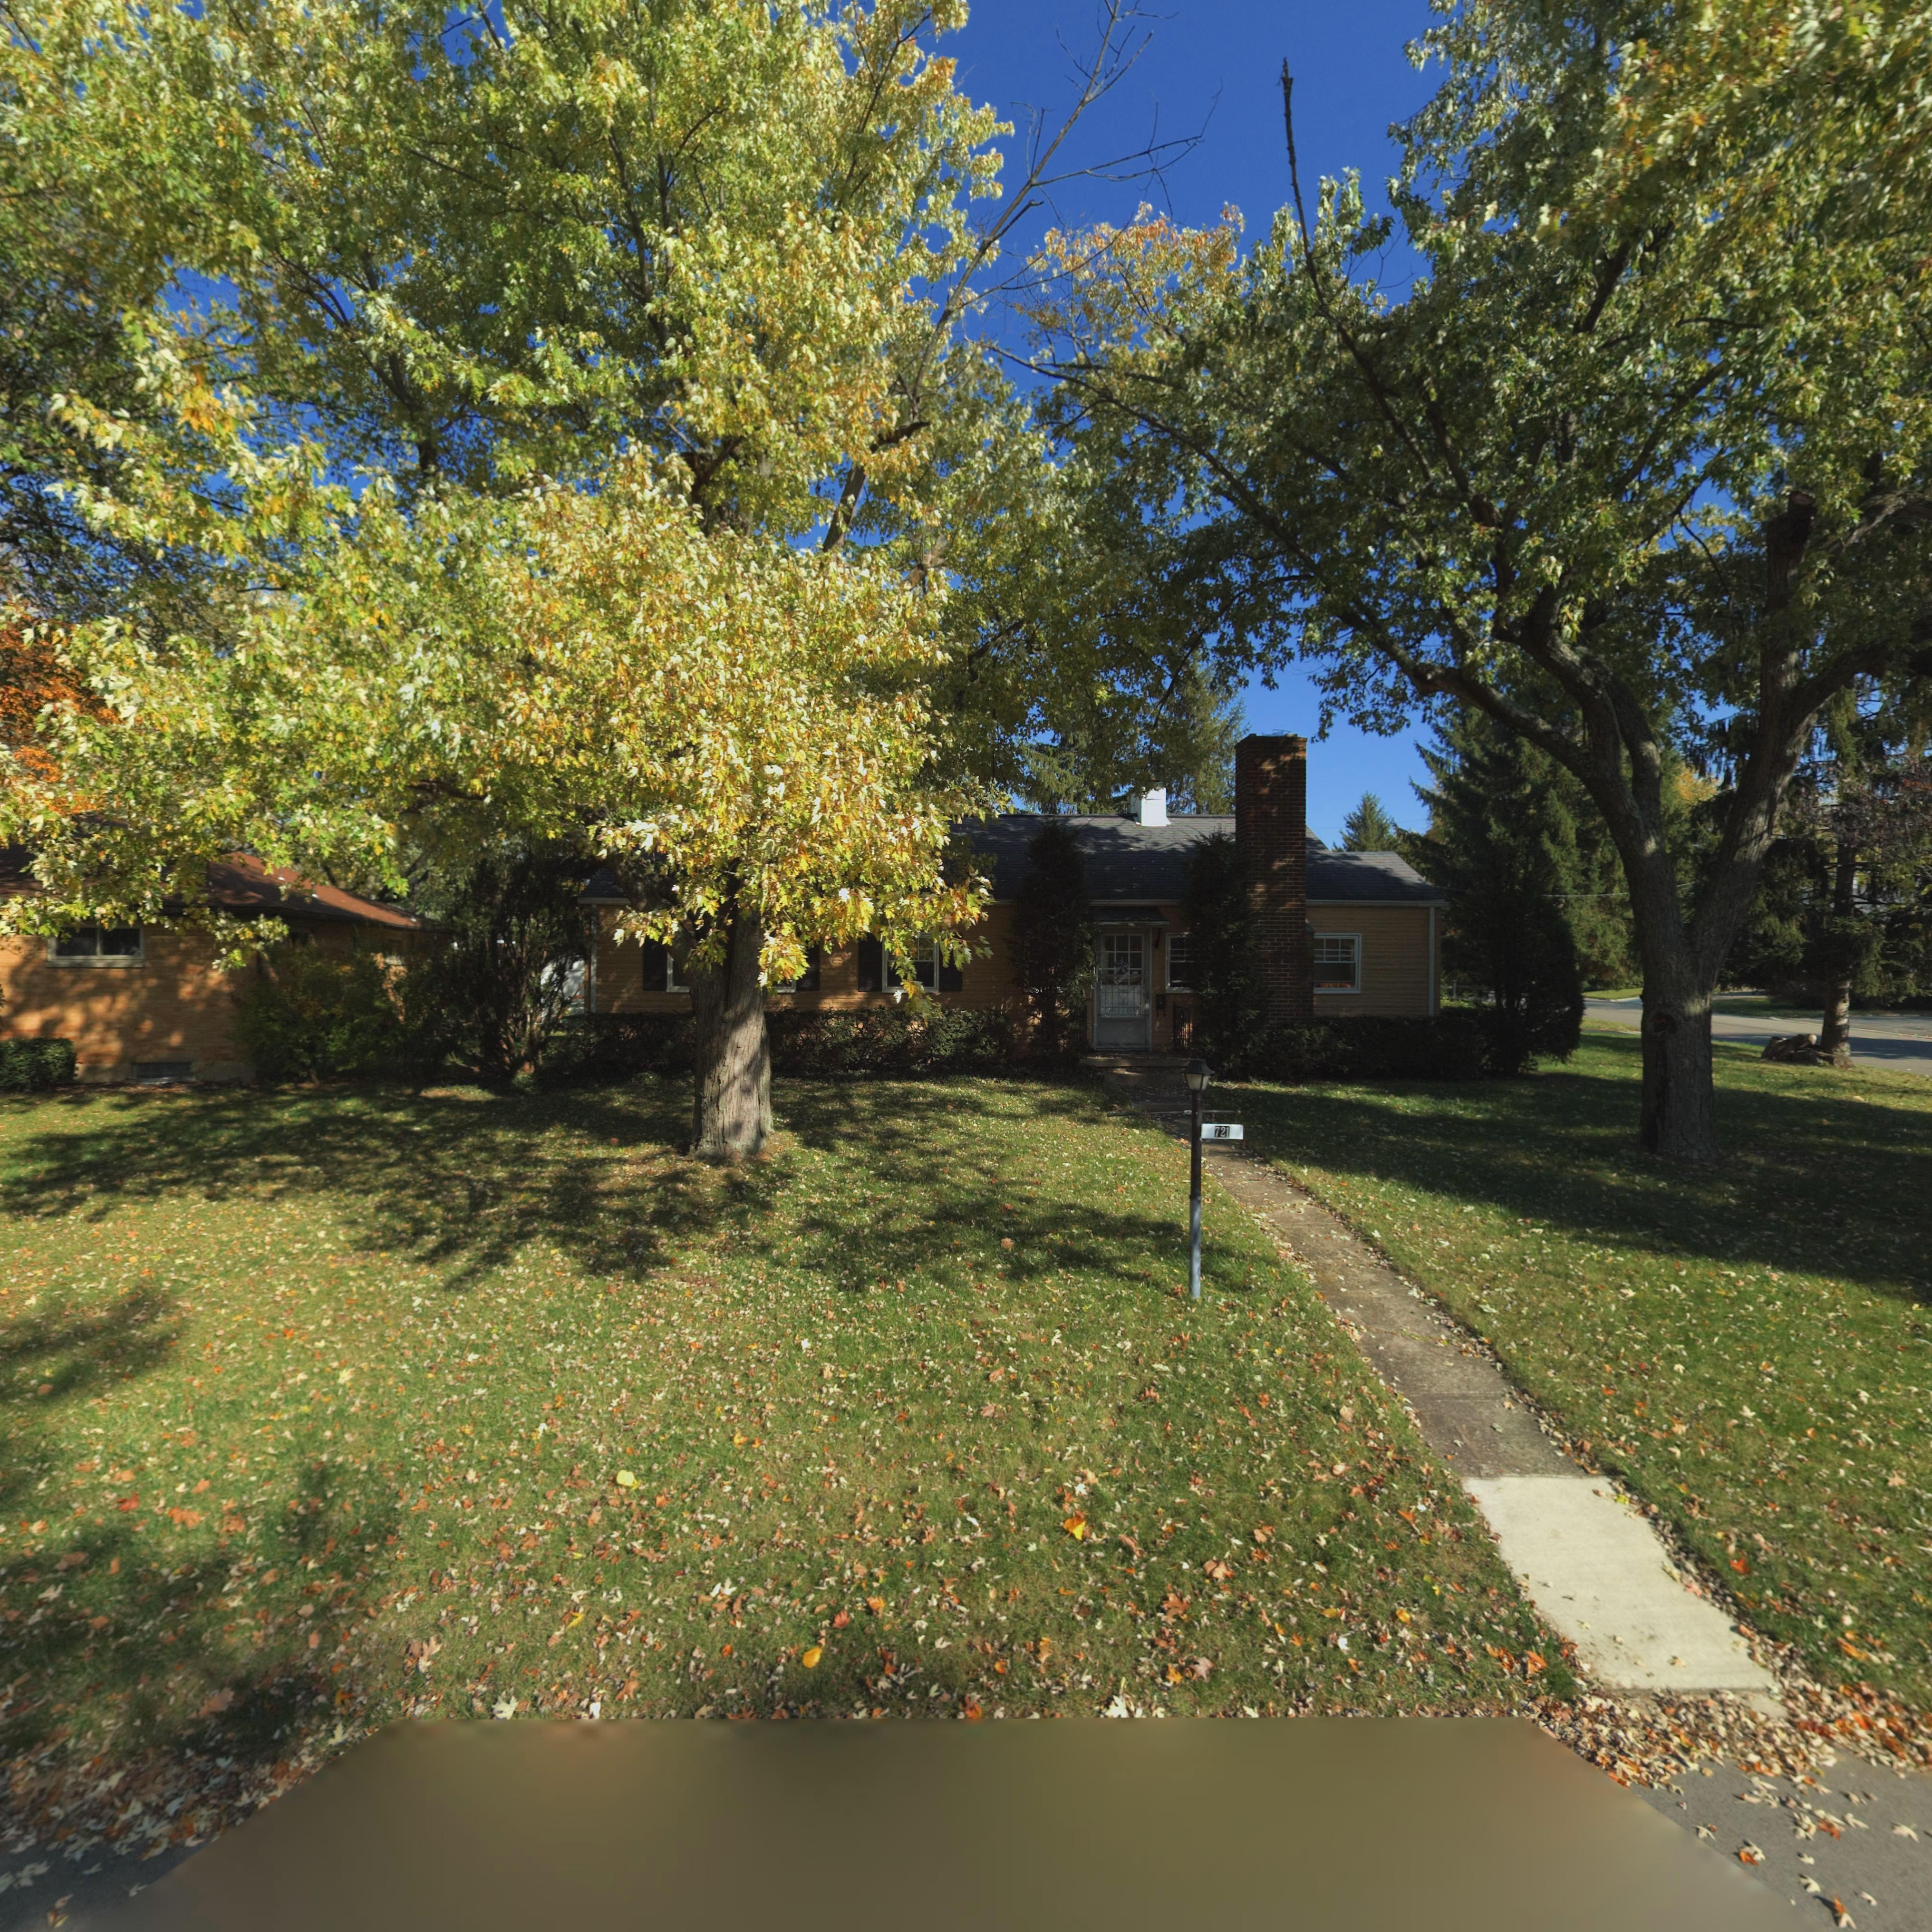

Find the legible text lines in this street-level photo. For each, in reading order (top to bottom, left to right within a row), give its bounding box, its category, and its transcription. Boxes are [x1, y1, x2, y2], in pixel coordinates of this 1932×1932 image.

[1214, 1126, 1230, 1138] StreetNumber: 721